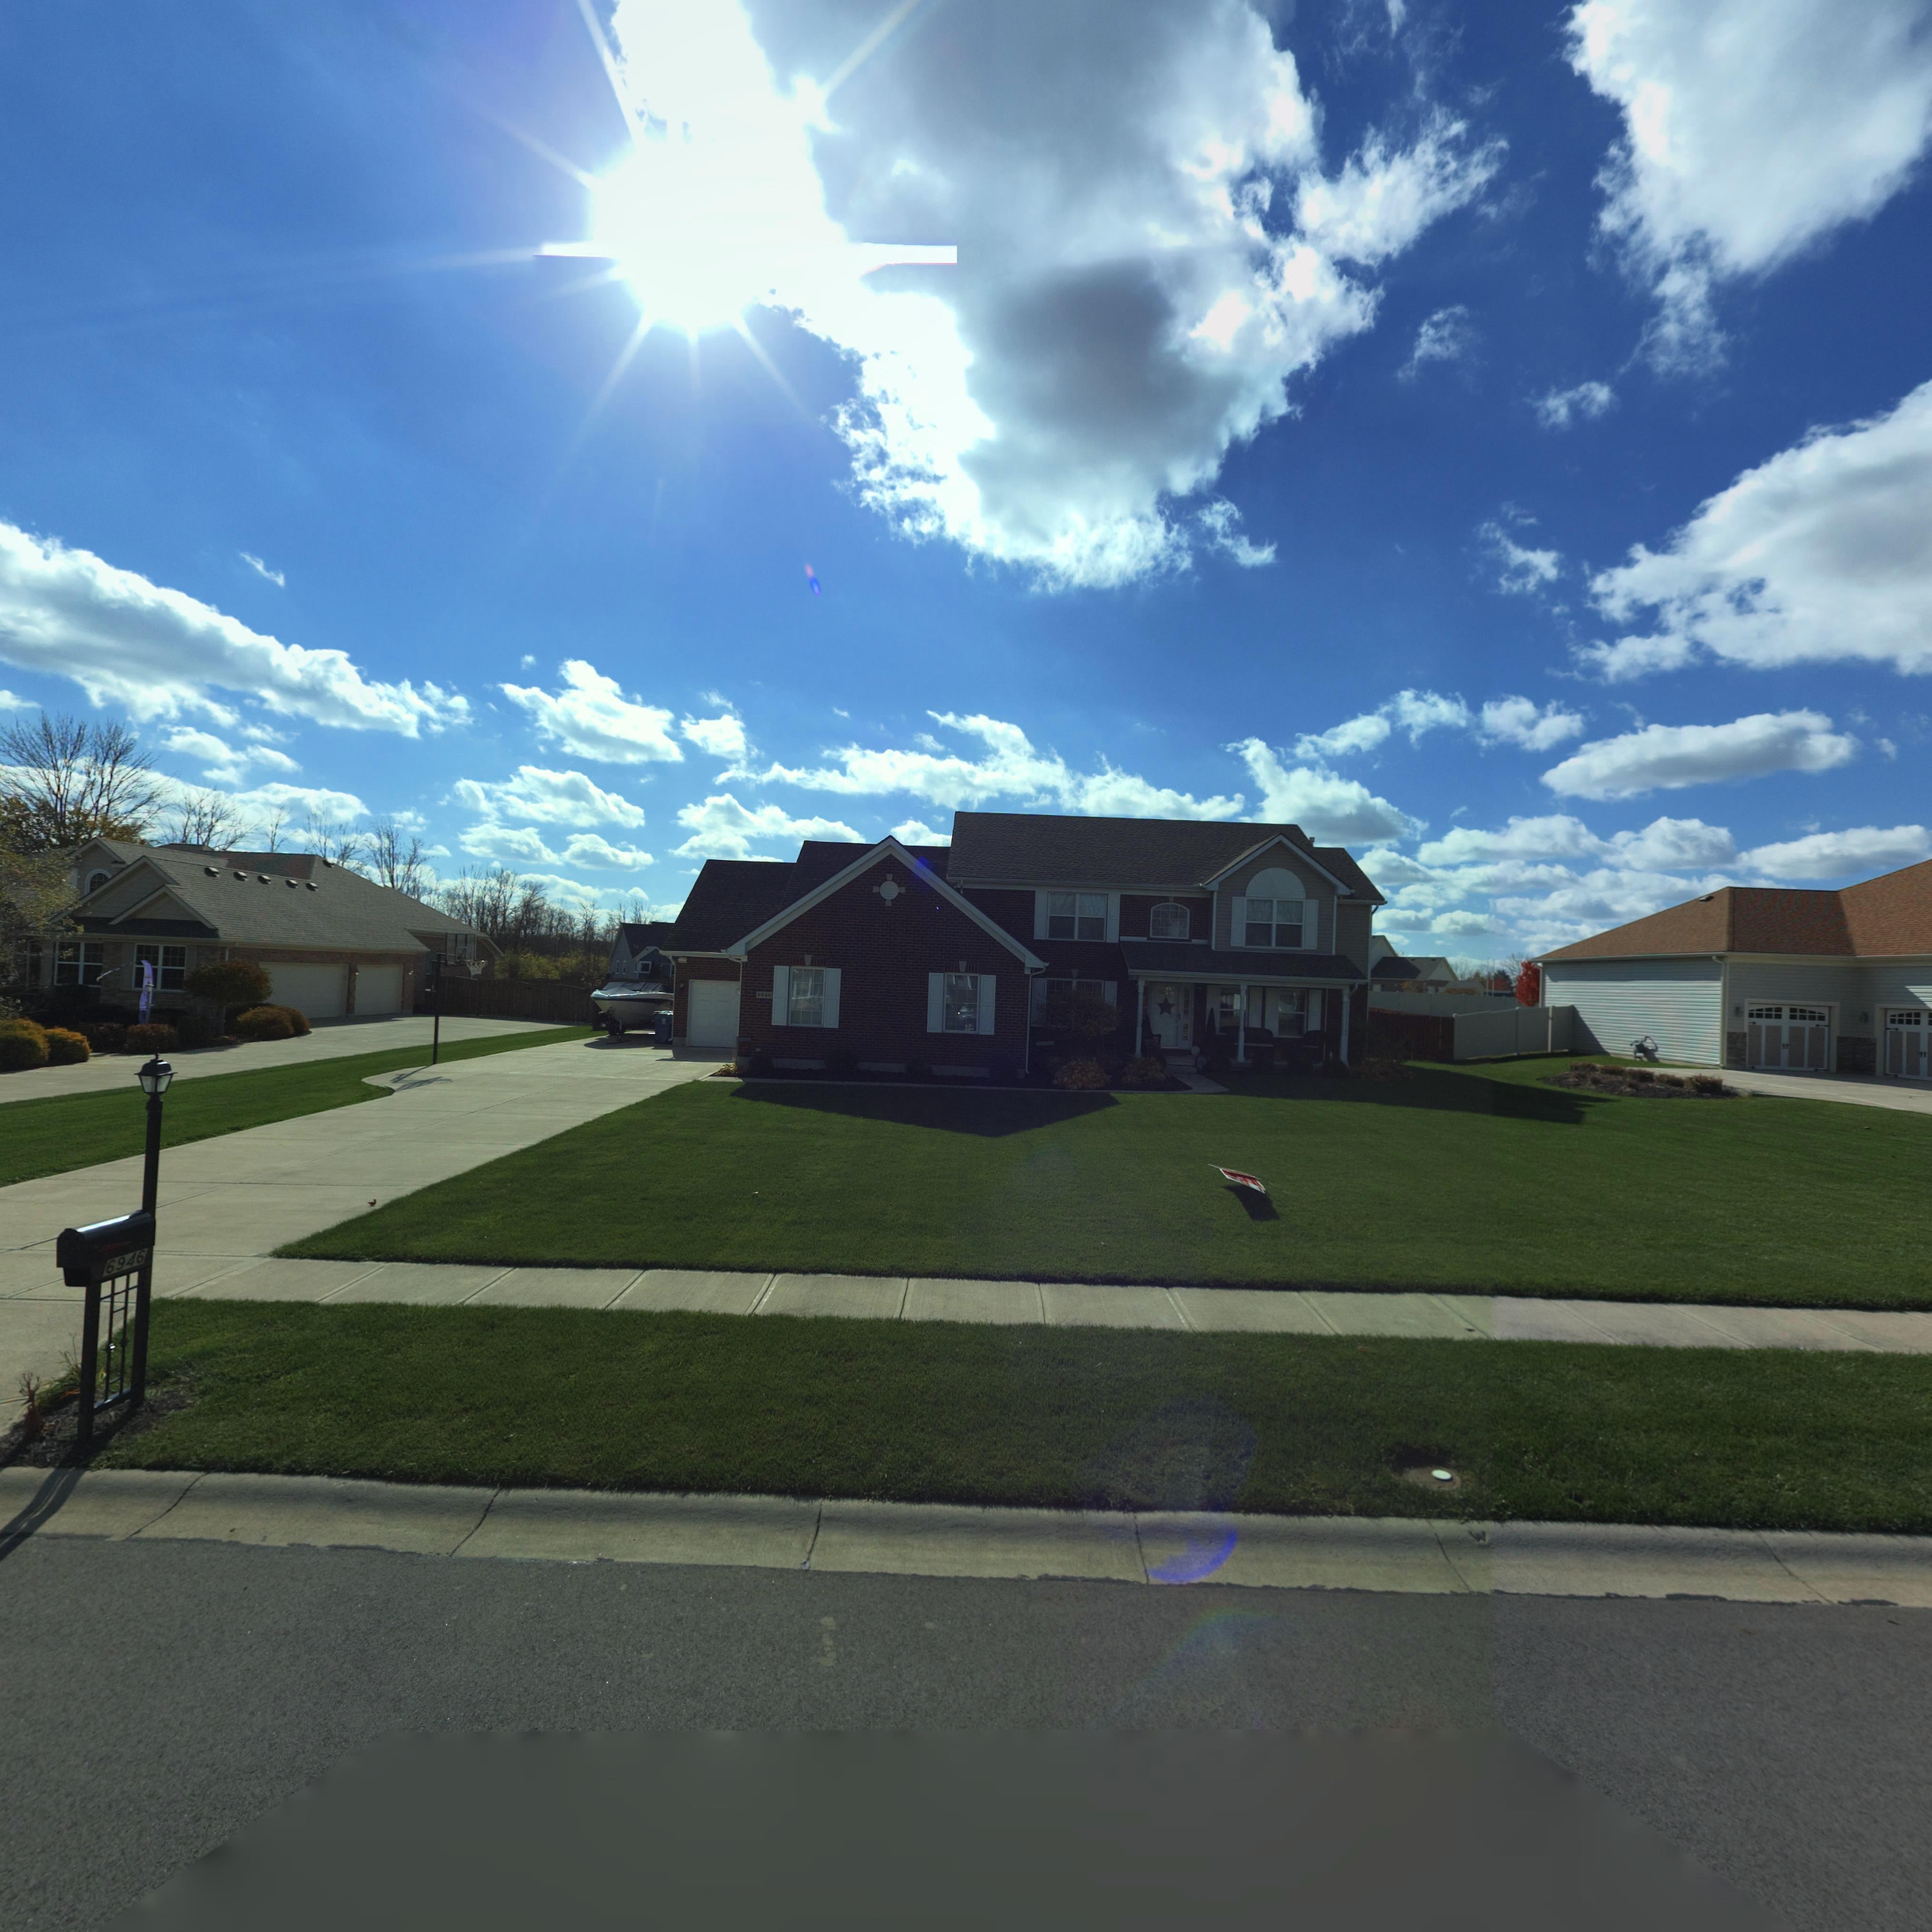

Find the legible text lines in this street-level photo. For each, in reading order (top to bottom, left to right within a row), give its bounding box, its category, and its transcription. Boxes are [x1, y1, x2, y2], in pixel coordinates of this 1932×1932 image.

[757, 992, 772, 998] StreetNumber: 6946
[105, 1247, 147, 1275] StreetNumber: 6946